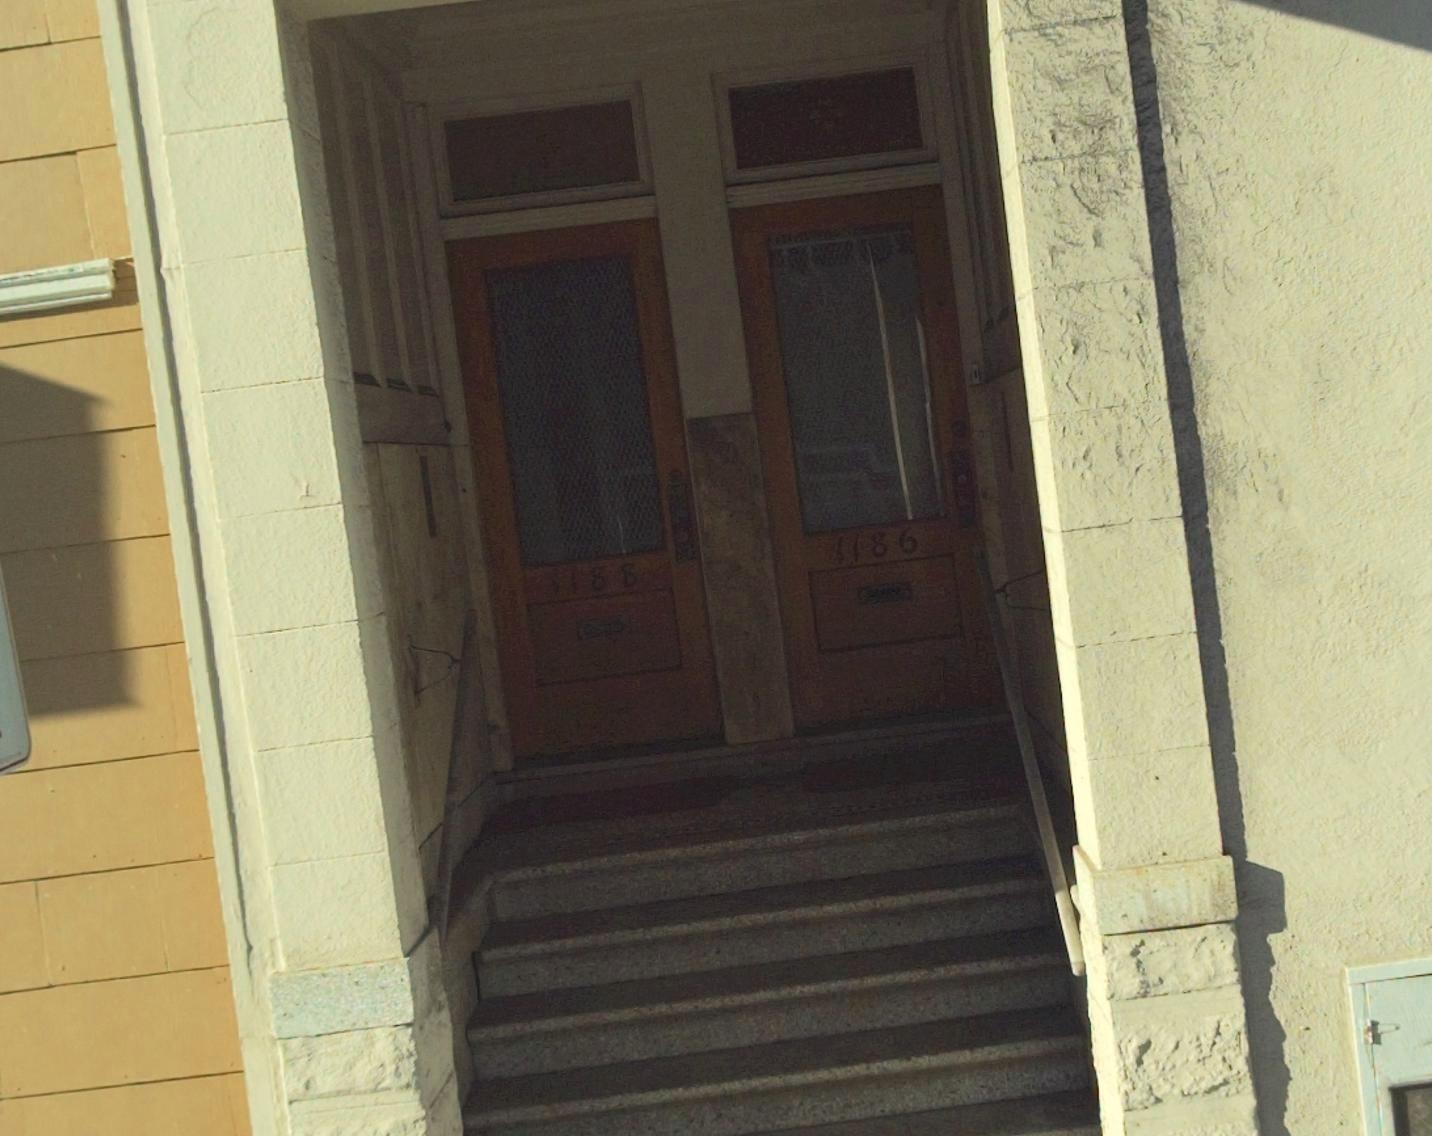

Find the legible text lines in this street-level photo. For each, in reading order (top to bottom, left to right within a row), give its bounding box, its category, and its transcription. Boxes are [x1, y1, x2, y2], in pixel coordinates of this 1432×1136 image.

[833, 523, 922, 569] StreetNumber: 1186
[546, 560, 640, 600] StreetNumber: 1188